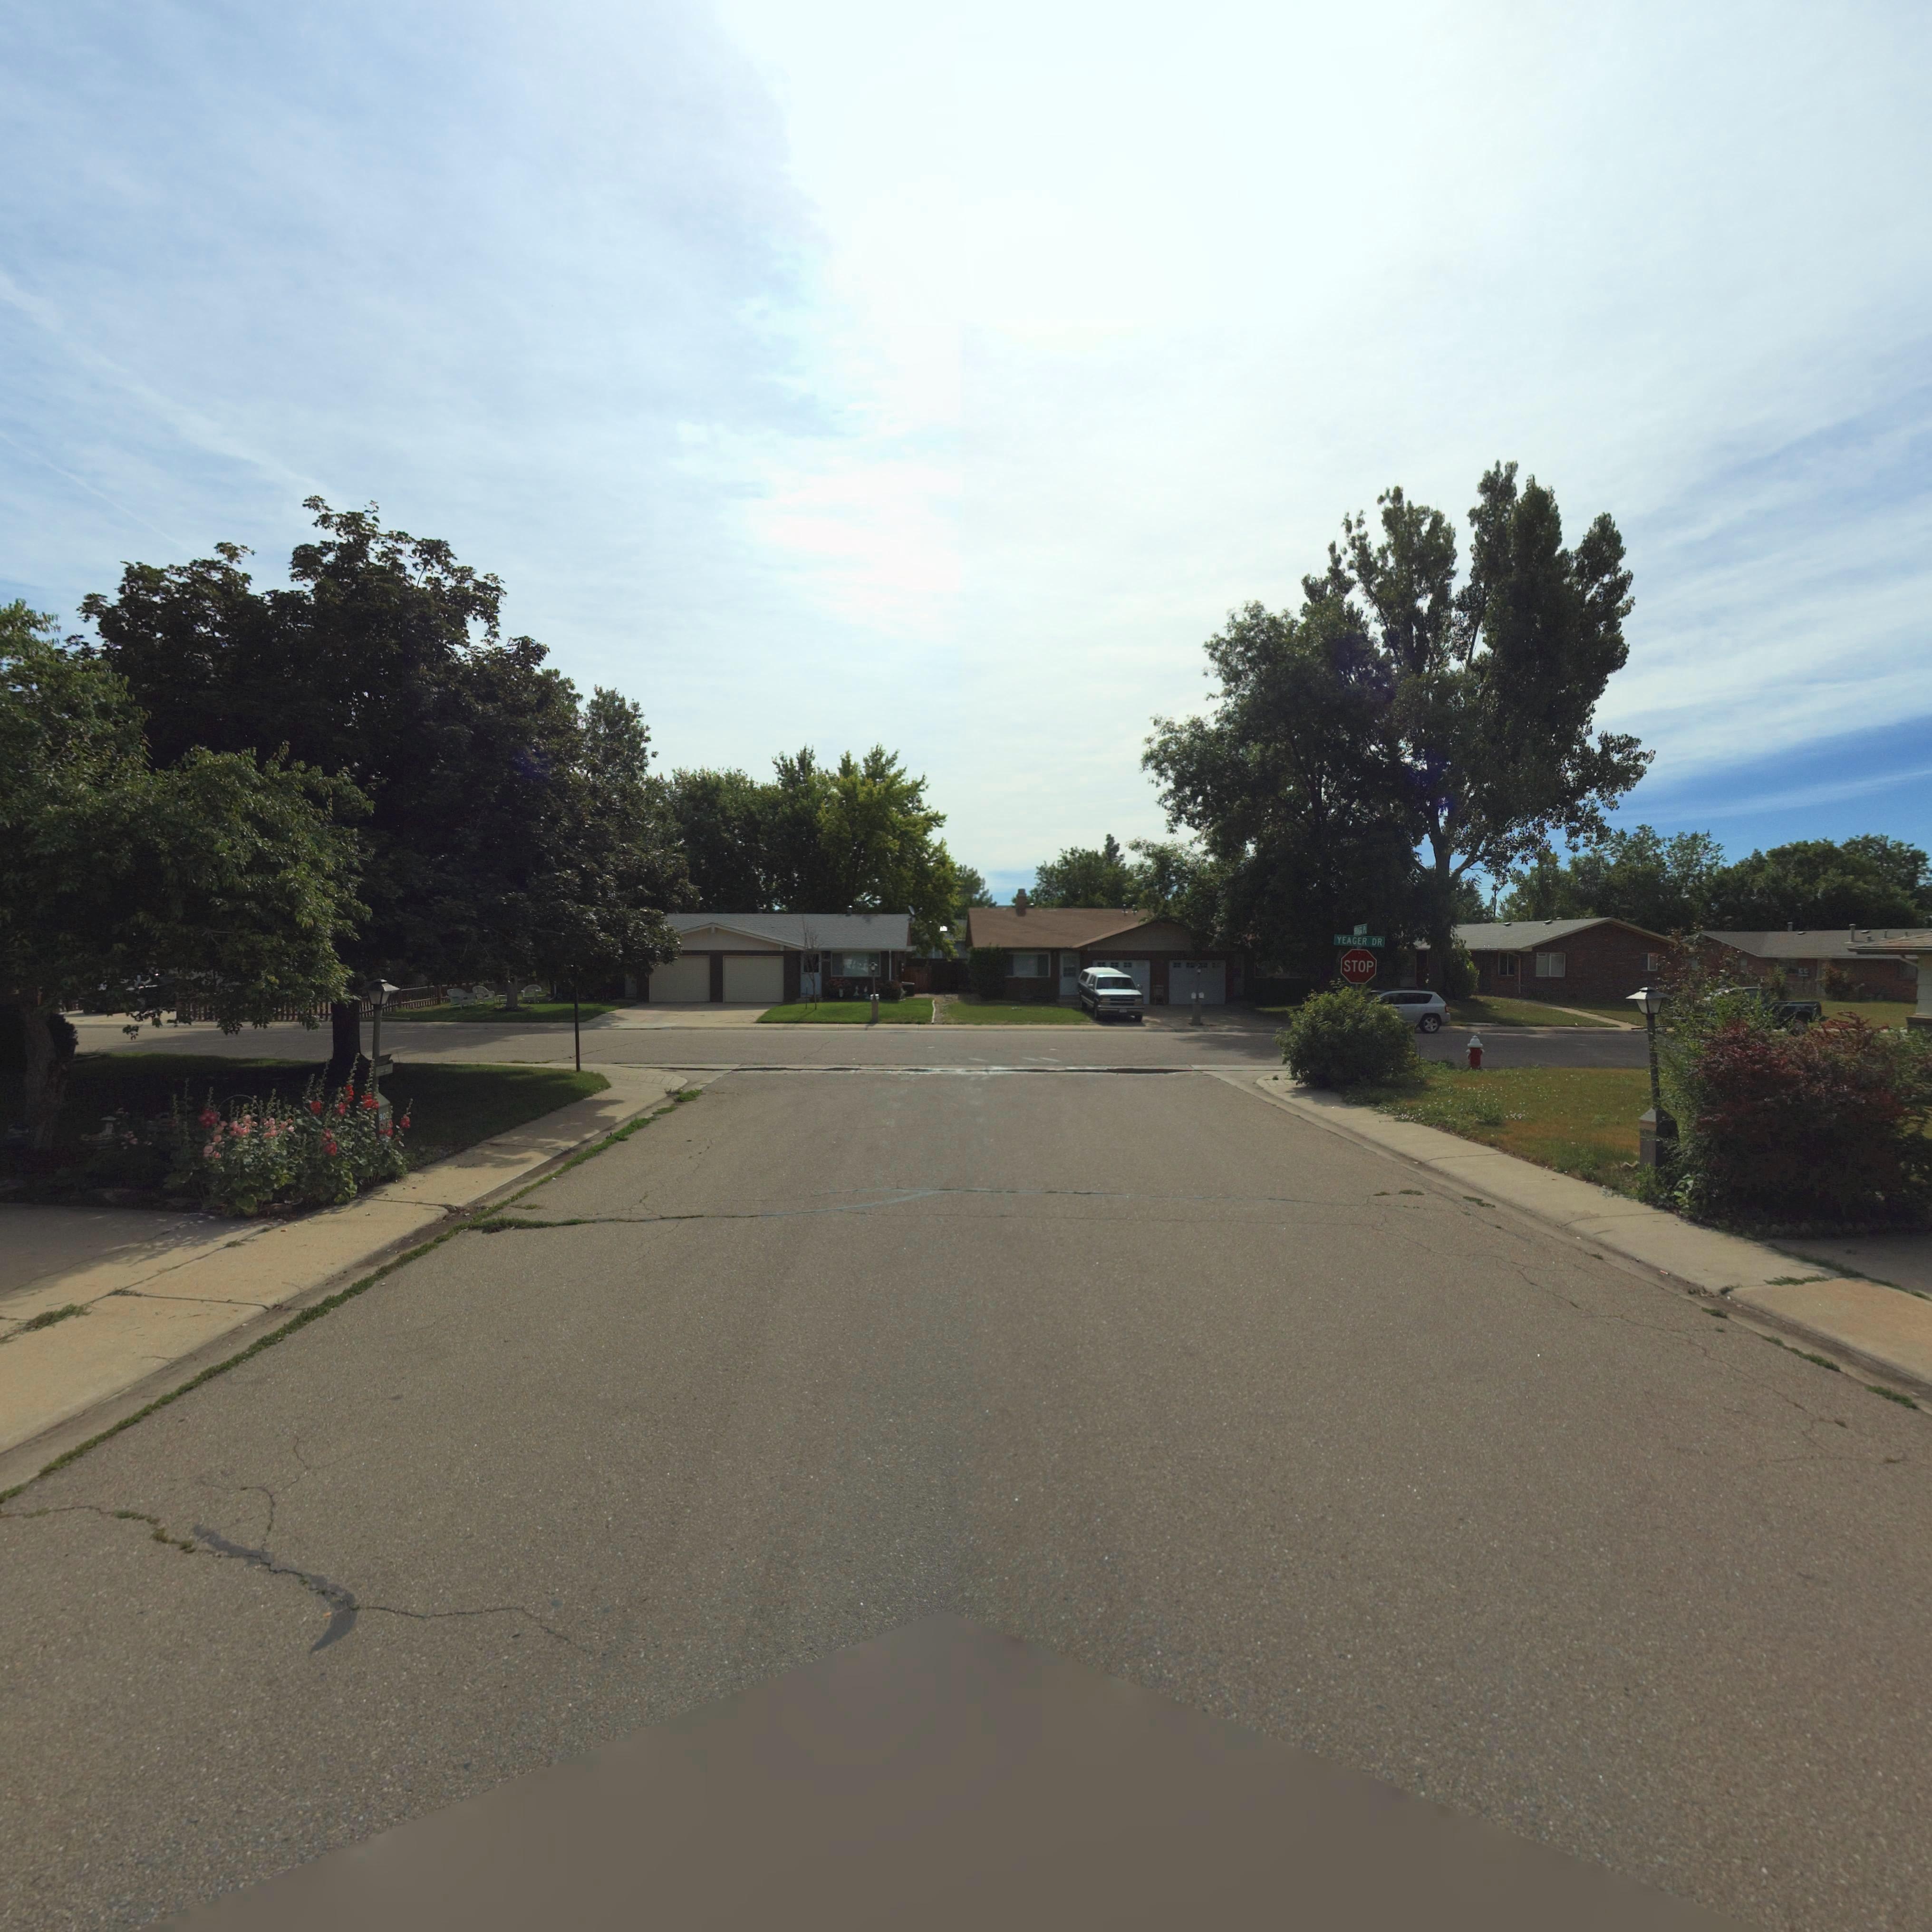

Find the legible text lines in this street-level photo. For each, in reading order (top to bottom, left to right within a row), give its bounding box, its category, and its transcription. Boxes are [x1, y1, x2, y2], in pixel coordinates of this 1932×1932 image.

[1353, 925, 1366, 935] StreetName: *RAGG PL
[1336, 936, 1382, 946] StreetName: YEAGER DR
[378, 1111, 389, 1121] StreetNumber: 90*